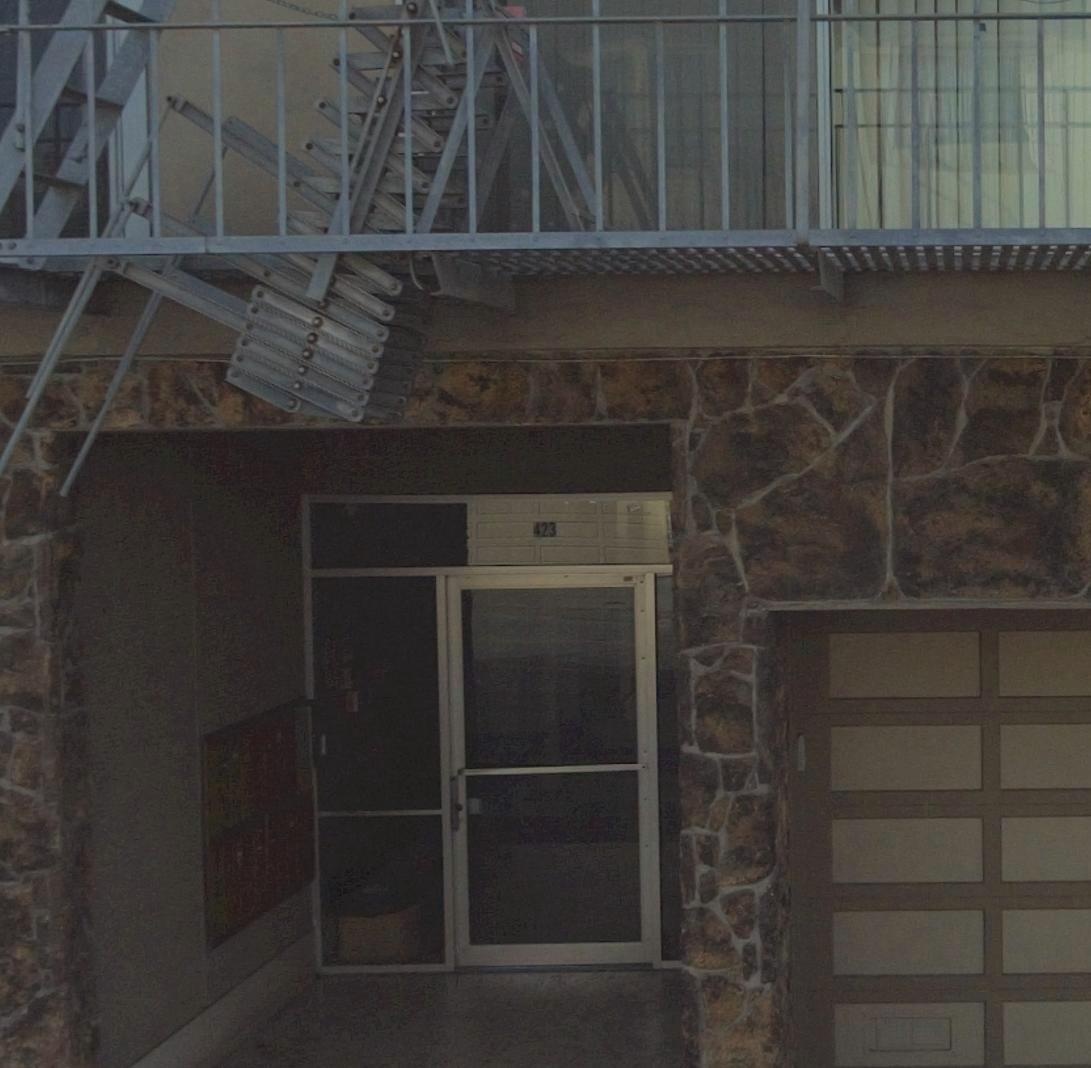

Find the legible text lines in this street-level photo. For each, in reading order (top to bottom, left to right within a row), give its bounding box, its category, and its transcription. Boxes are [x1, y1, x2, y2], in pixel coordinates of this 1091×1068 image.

[533, 521, 558, 538] StreetNumber: 423